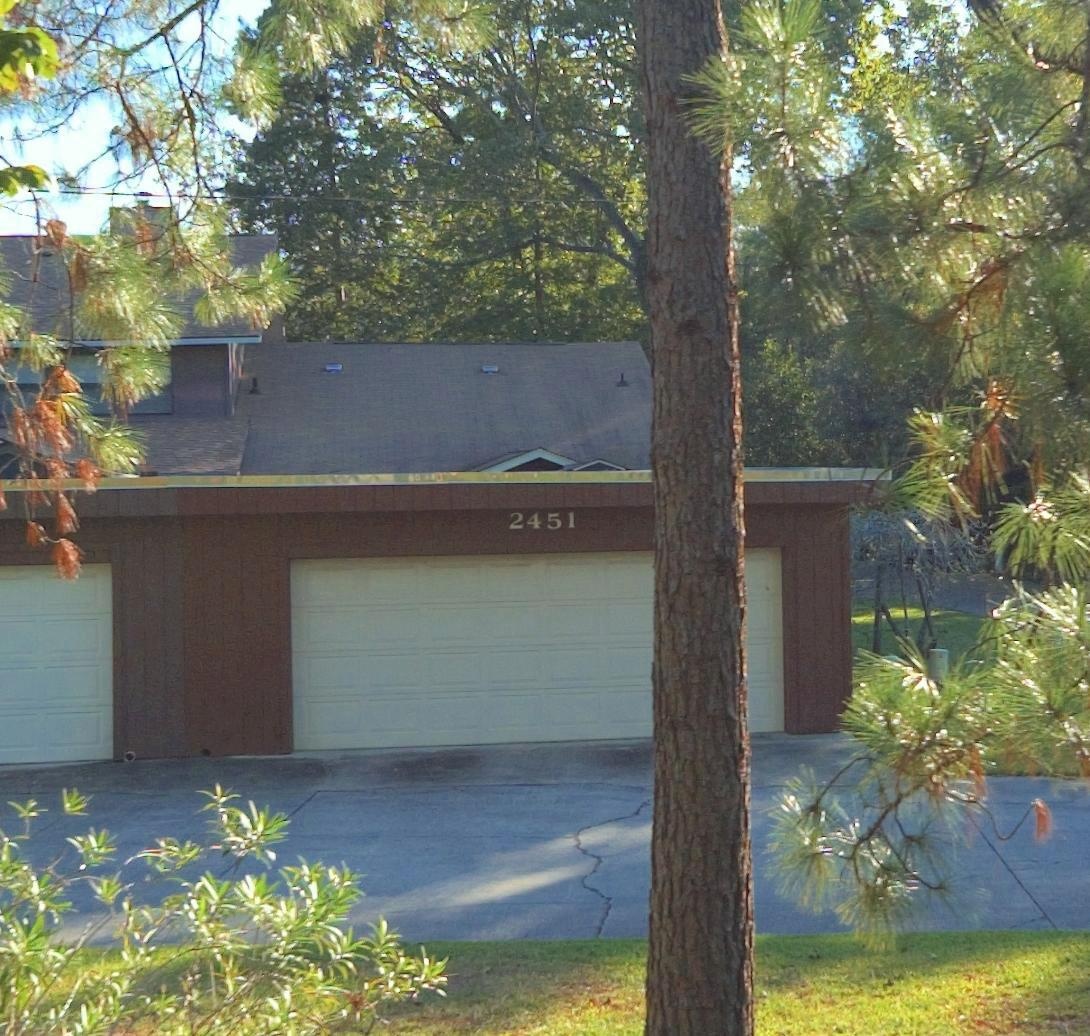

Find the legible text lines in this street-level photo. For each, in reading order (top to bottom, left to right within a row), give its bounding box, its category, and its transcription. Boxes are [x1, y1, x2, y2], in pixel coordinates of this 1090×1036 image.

[507, 510, 577, 531] StreetNumber: 2451